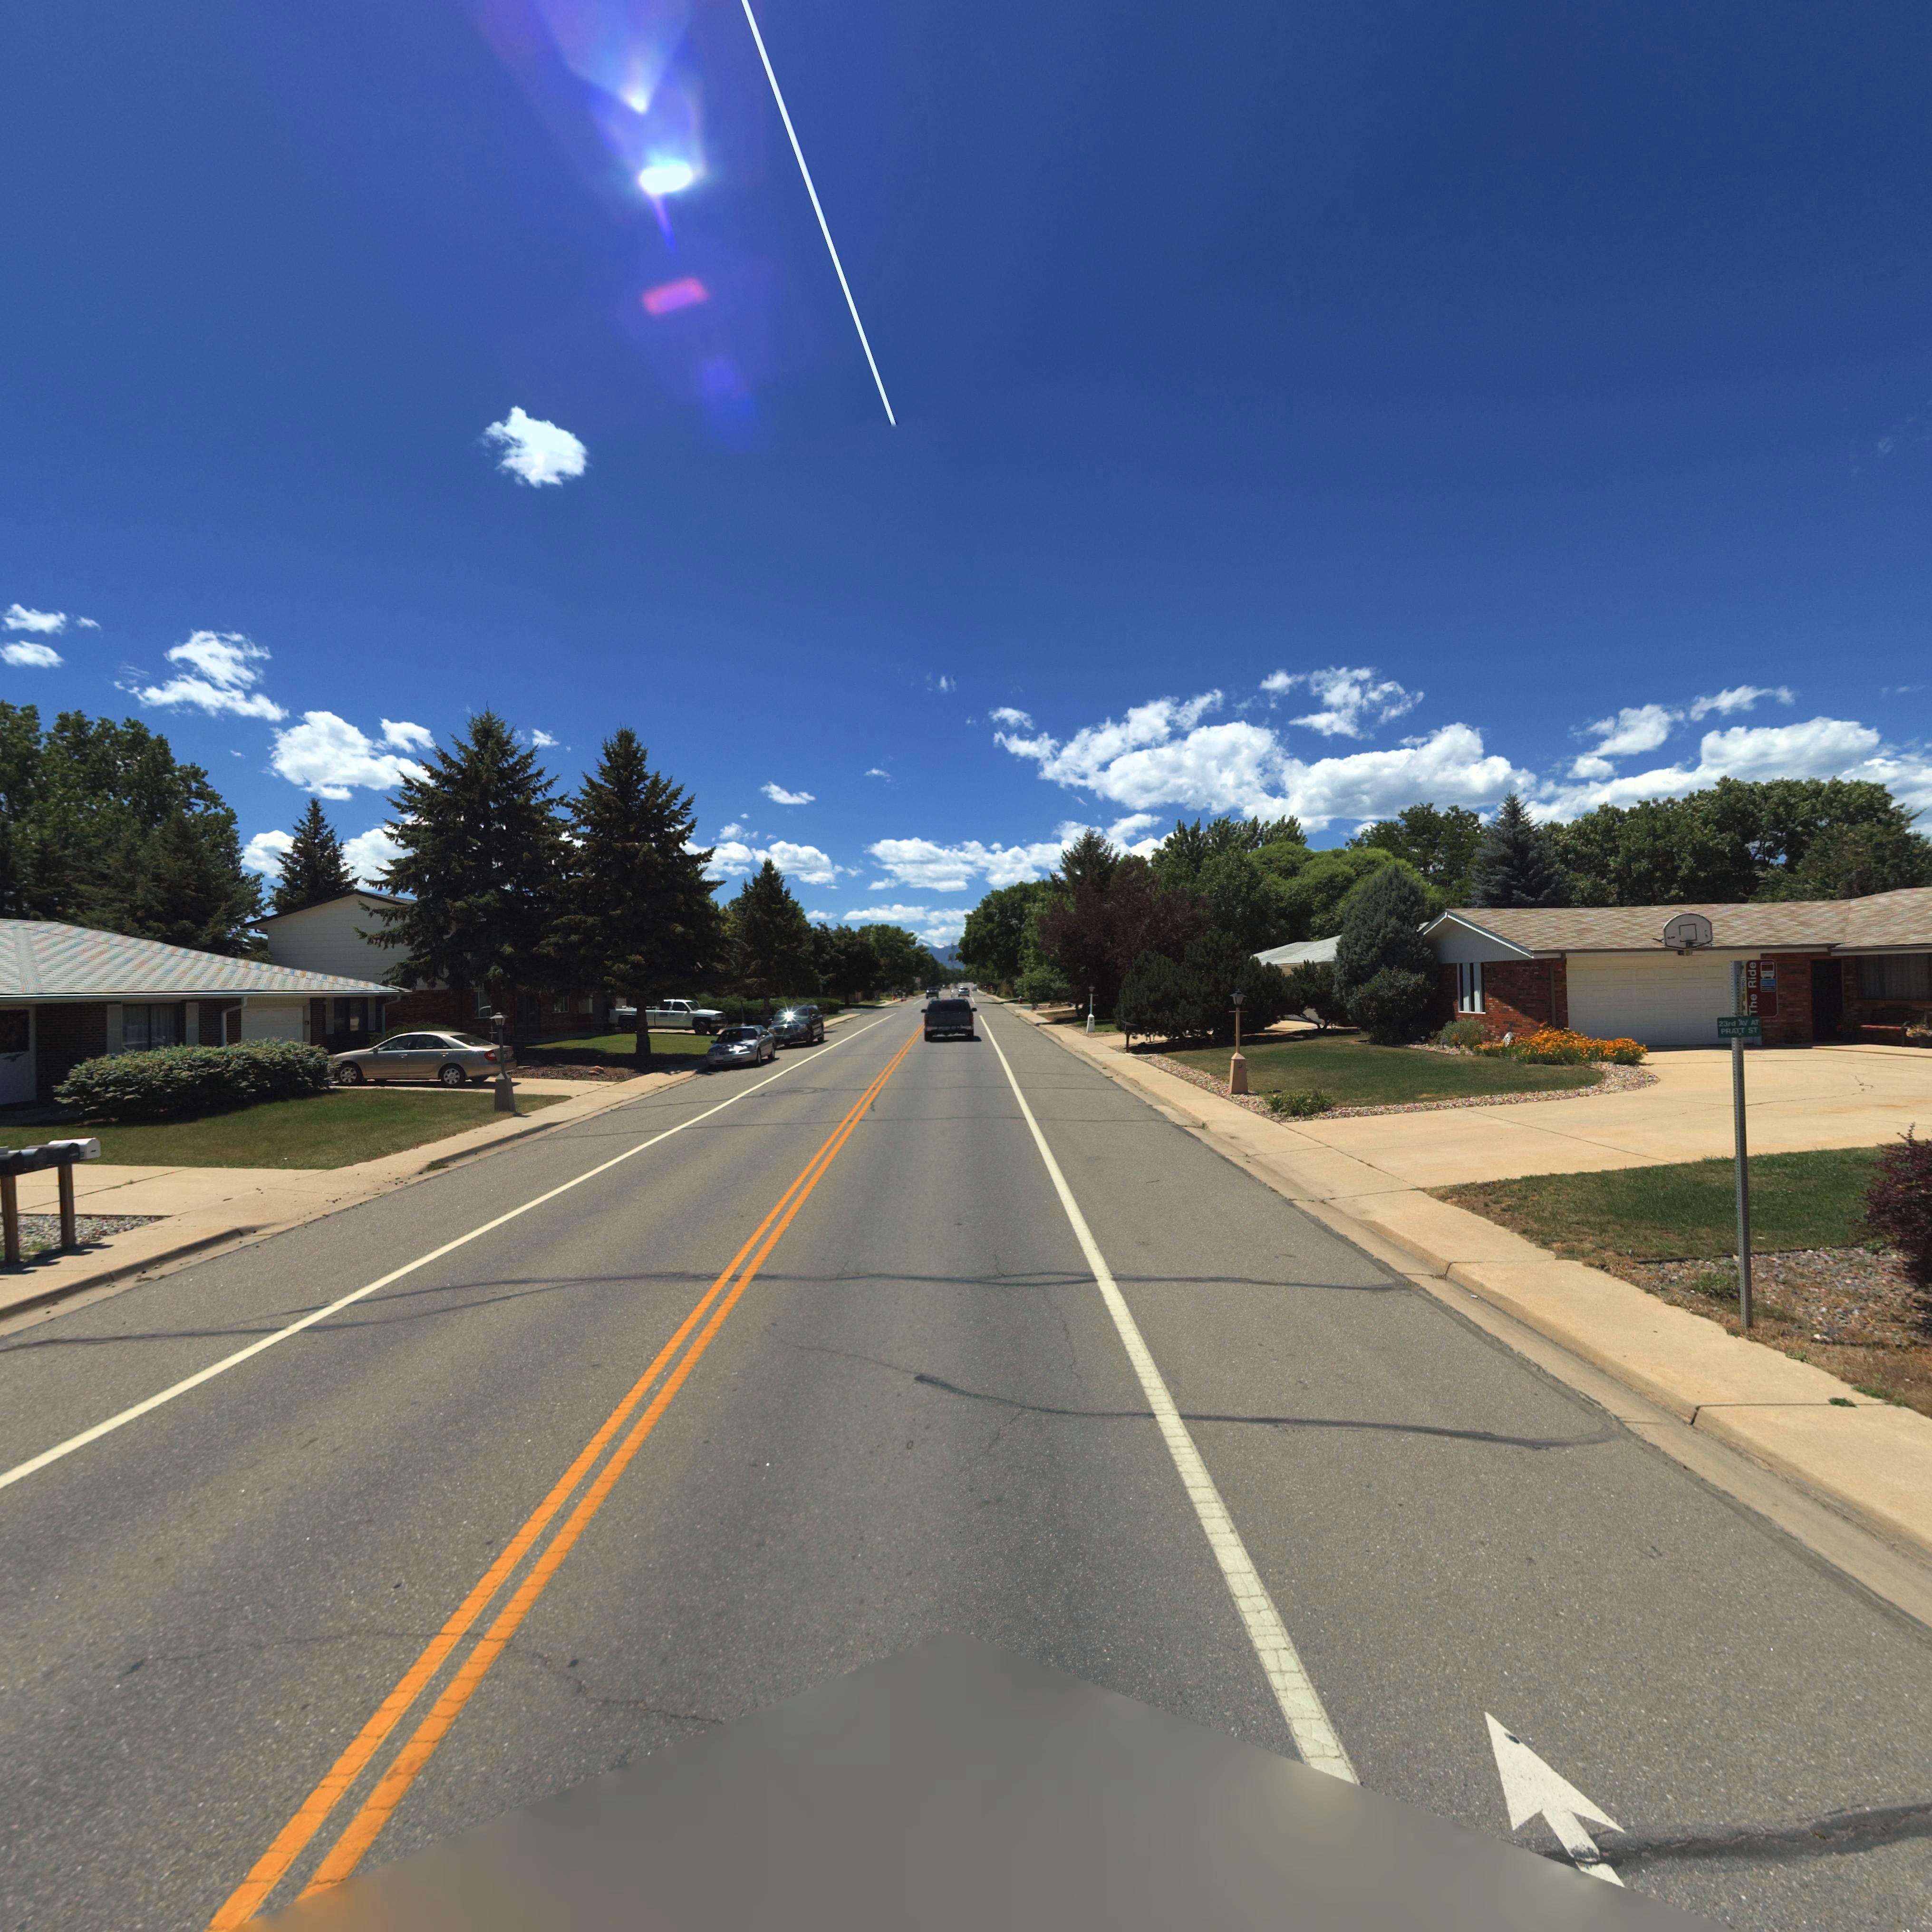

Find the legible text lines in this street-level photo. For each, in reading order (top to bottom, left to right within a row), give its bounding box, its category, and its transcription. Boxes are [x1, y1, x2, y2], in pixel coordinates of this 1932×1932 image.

[1718, 1019, 1759, 1027] StreetName: 23rd AV AT
[1720, 1026, 1758, 1034] StreetName: PRATT ST